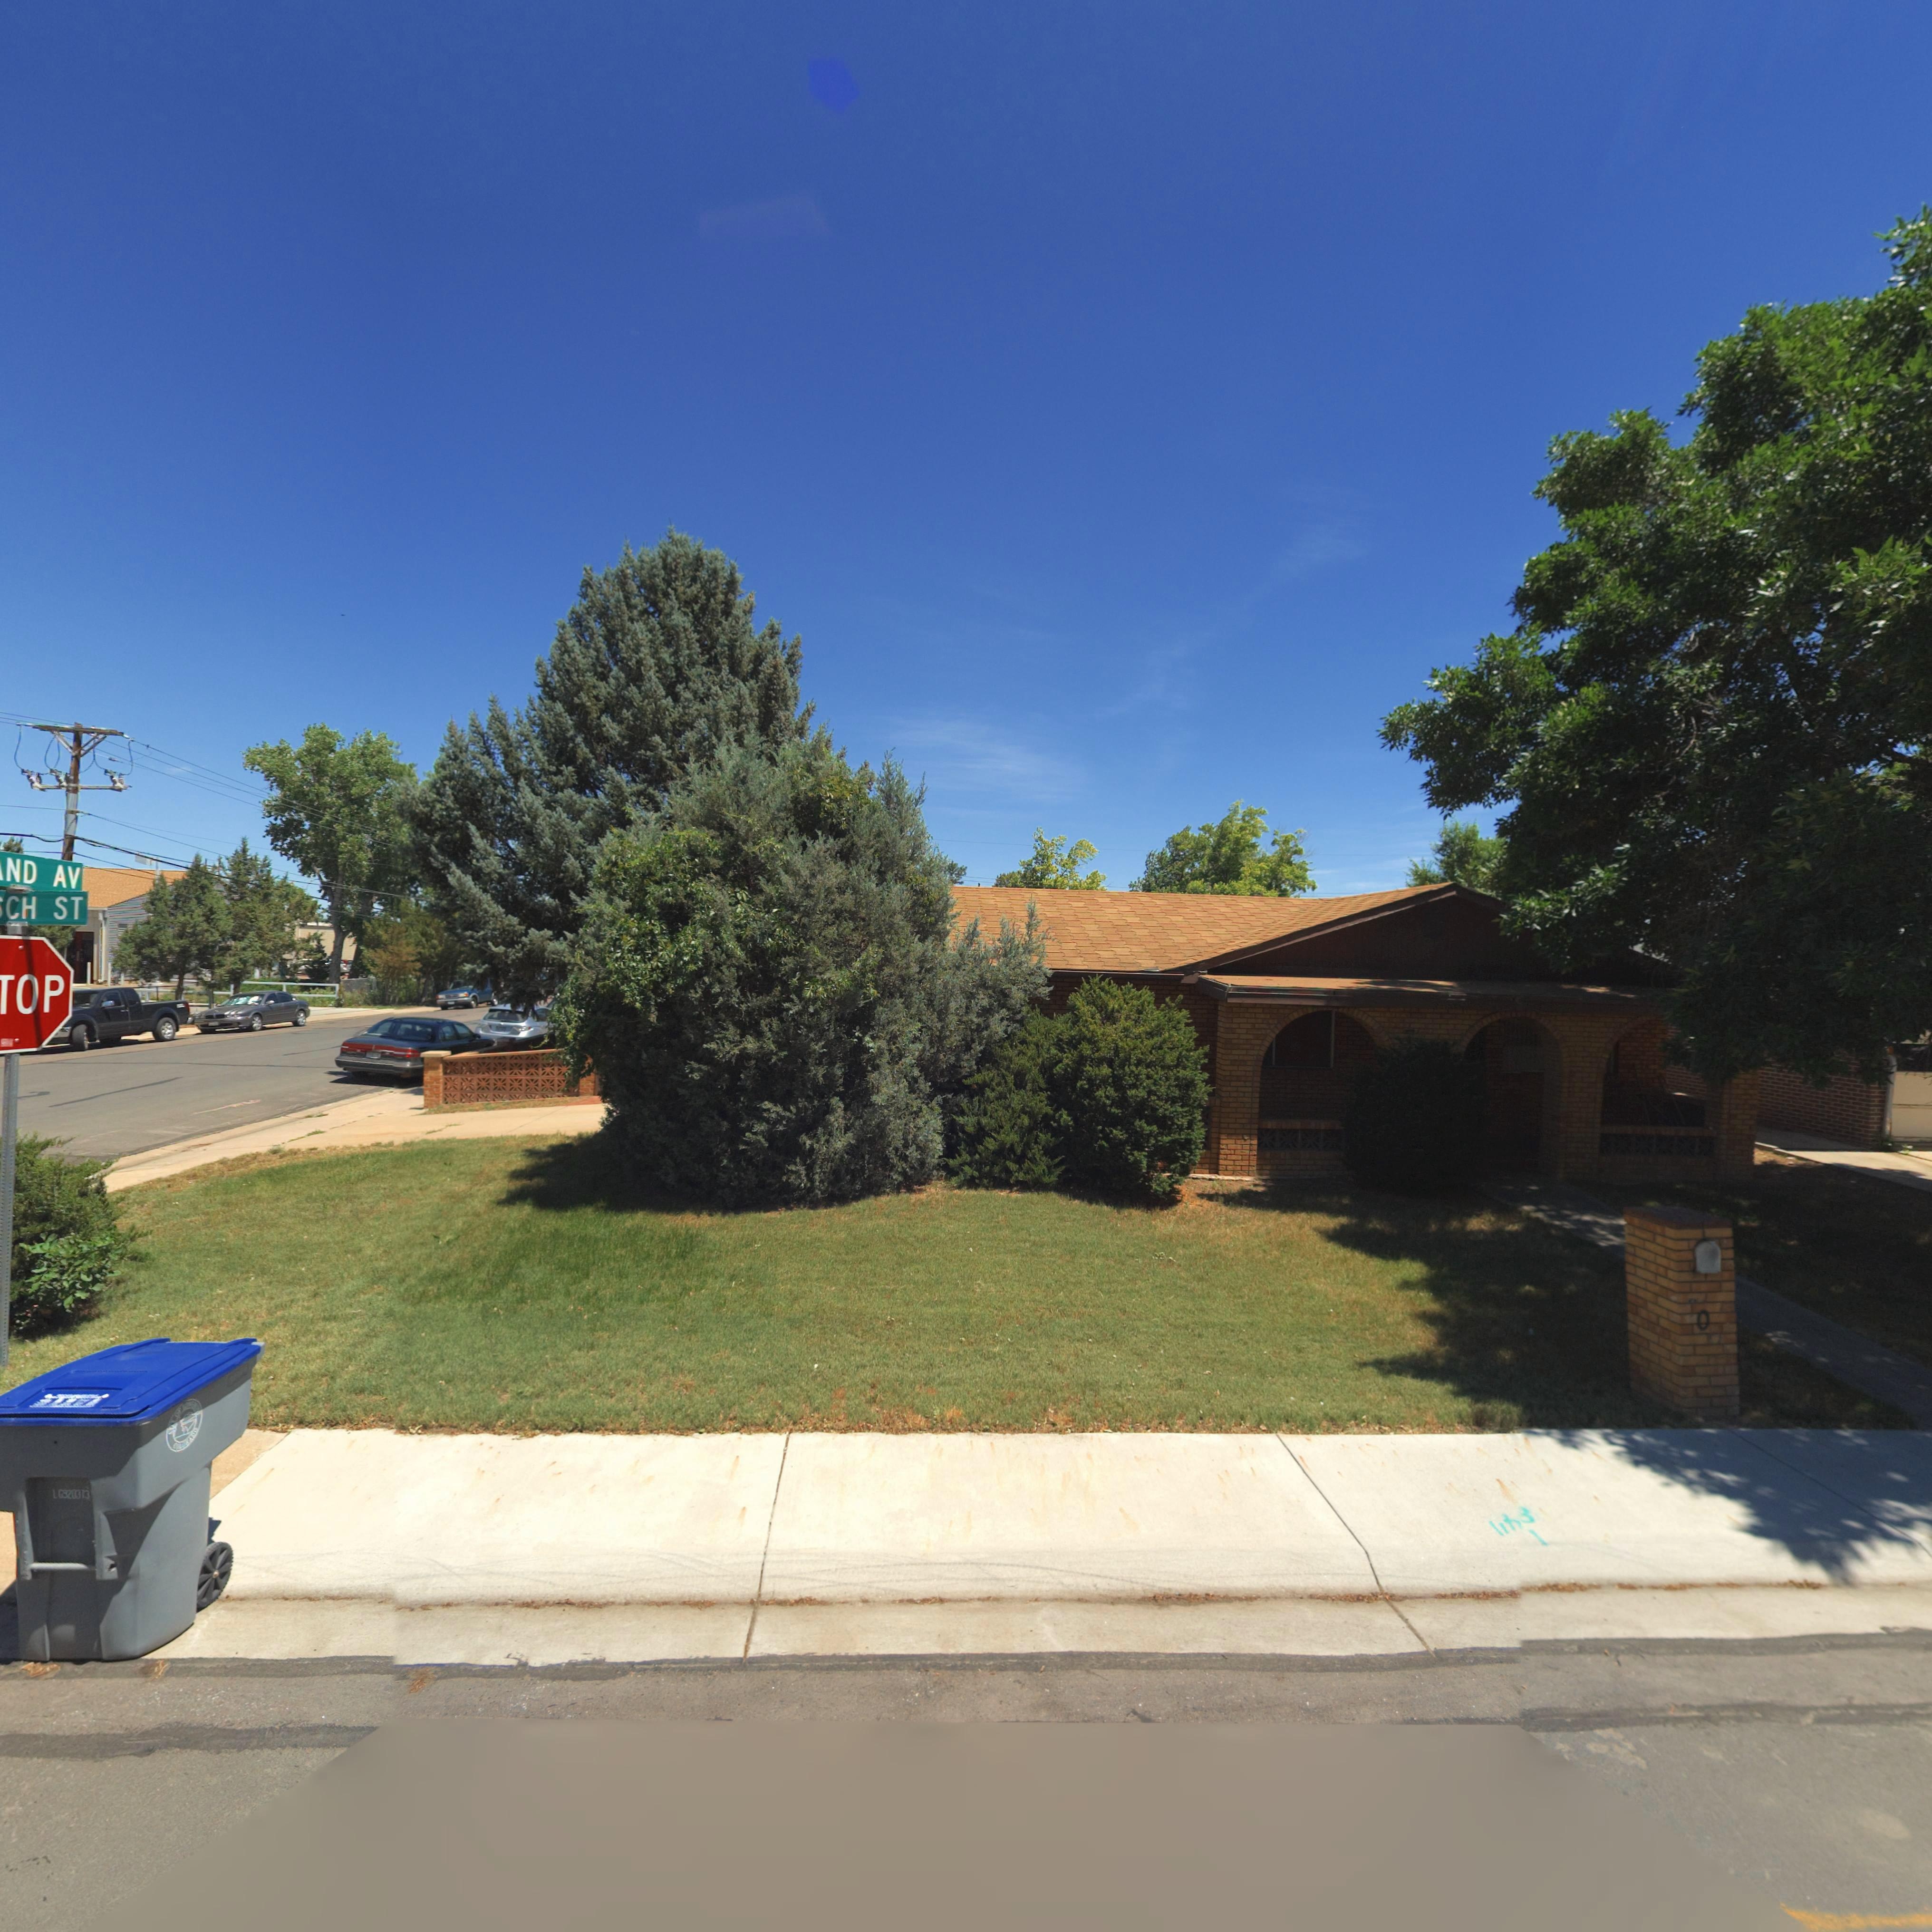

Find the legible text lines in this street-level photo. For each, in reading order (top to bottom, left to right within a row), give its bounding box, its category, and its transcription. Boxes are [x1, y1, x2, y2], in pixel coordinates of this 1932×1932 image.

[6, 857, 80, 889] StreetNumber: ND AV
[5, 895, 83, 920] StreetName: CH ST
[1688, 1302, 1710, 1331] StreetNumber: *0